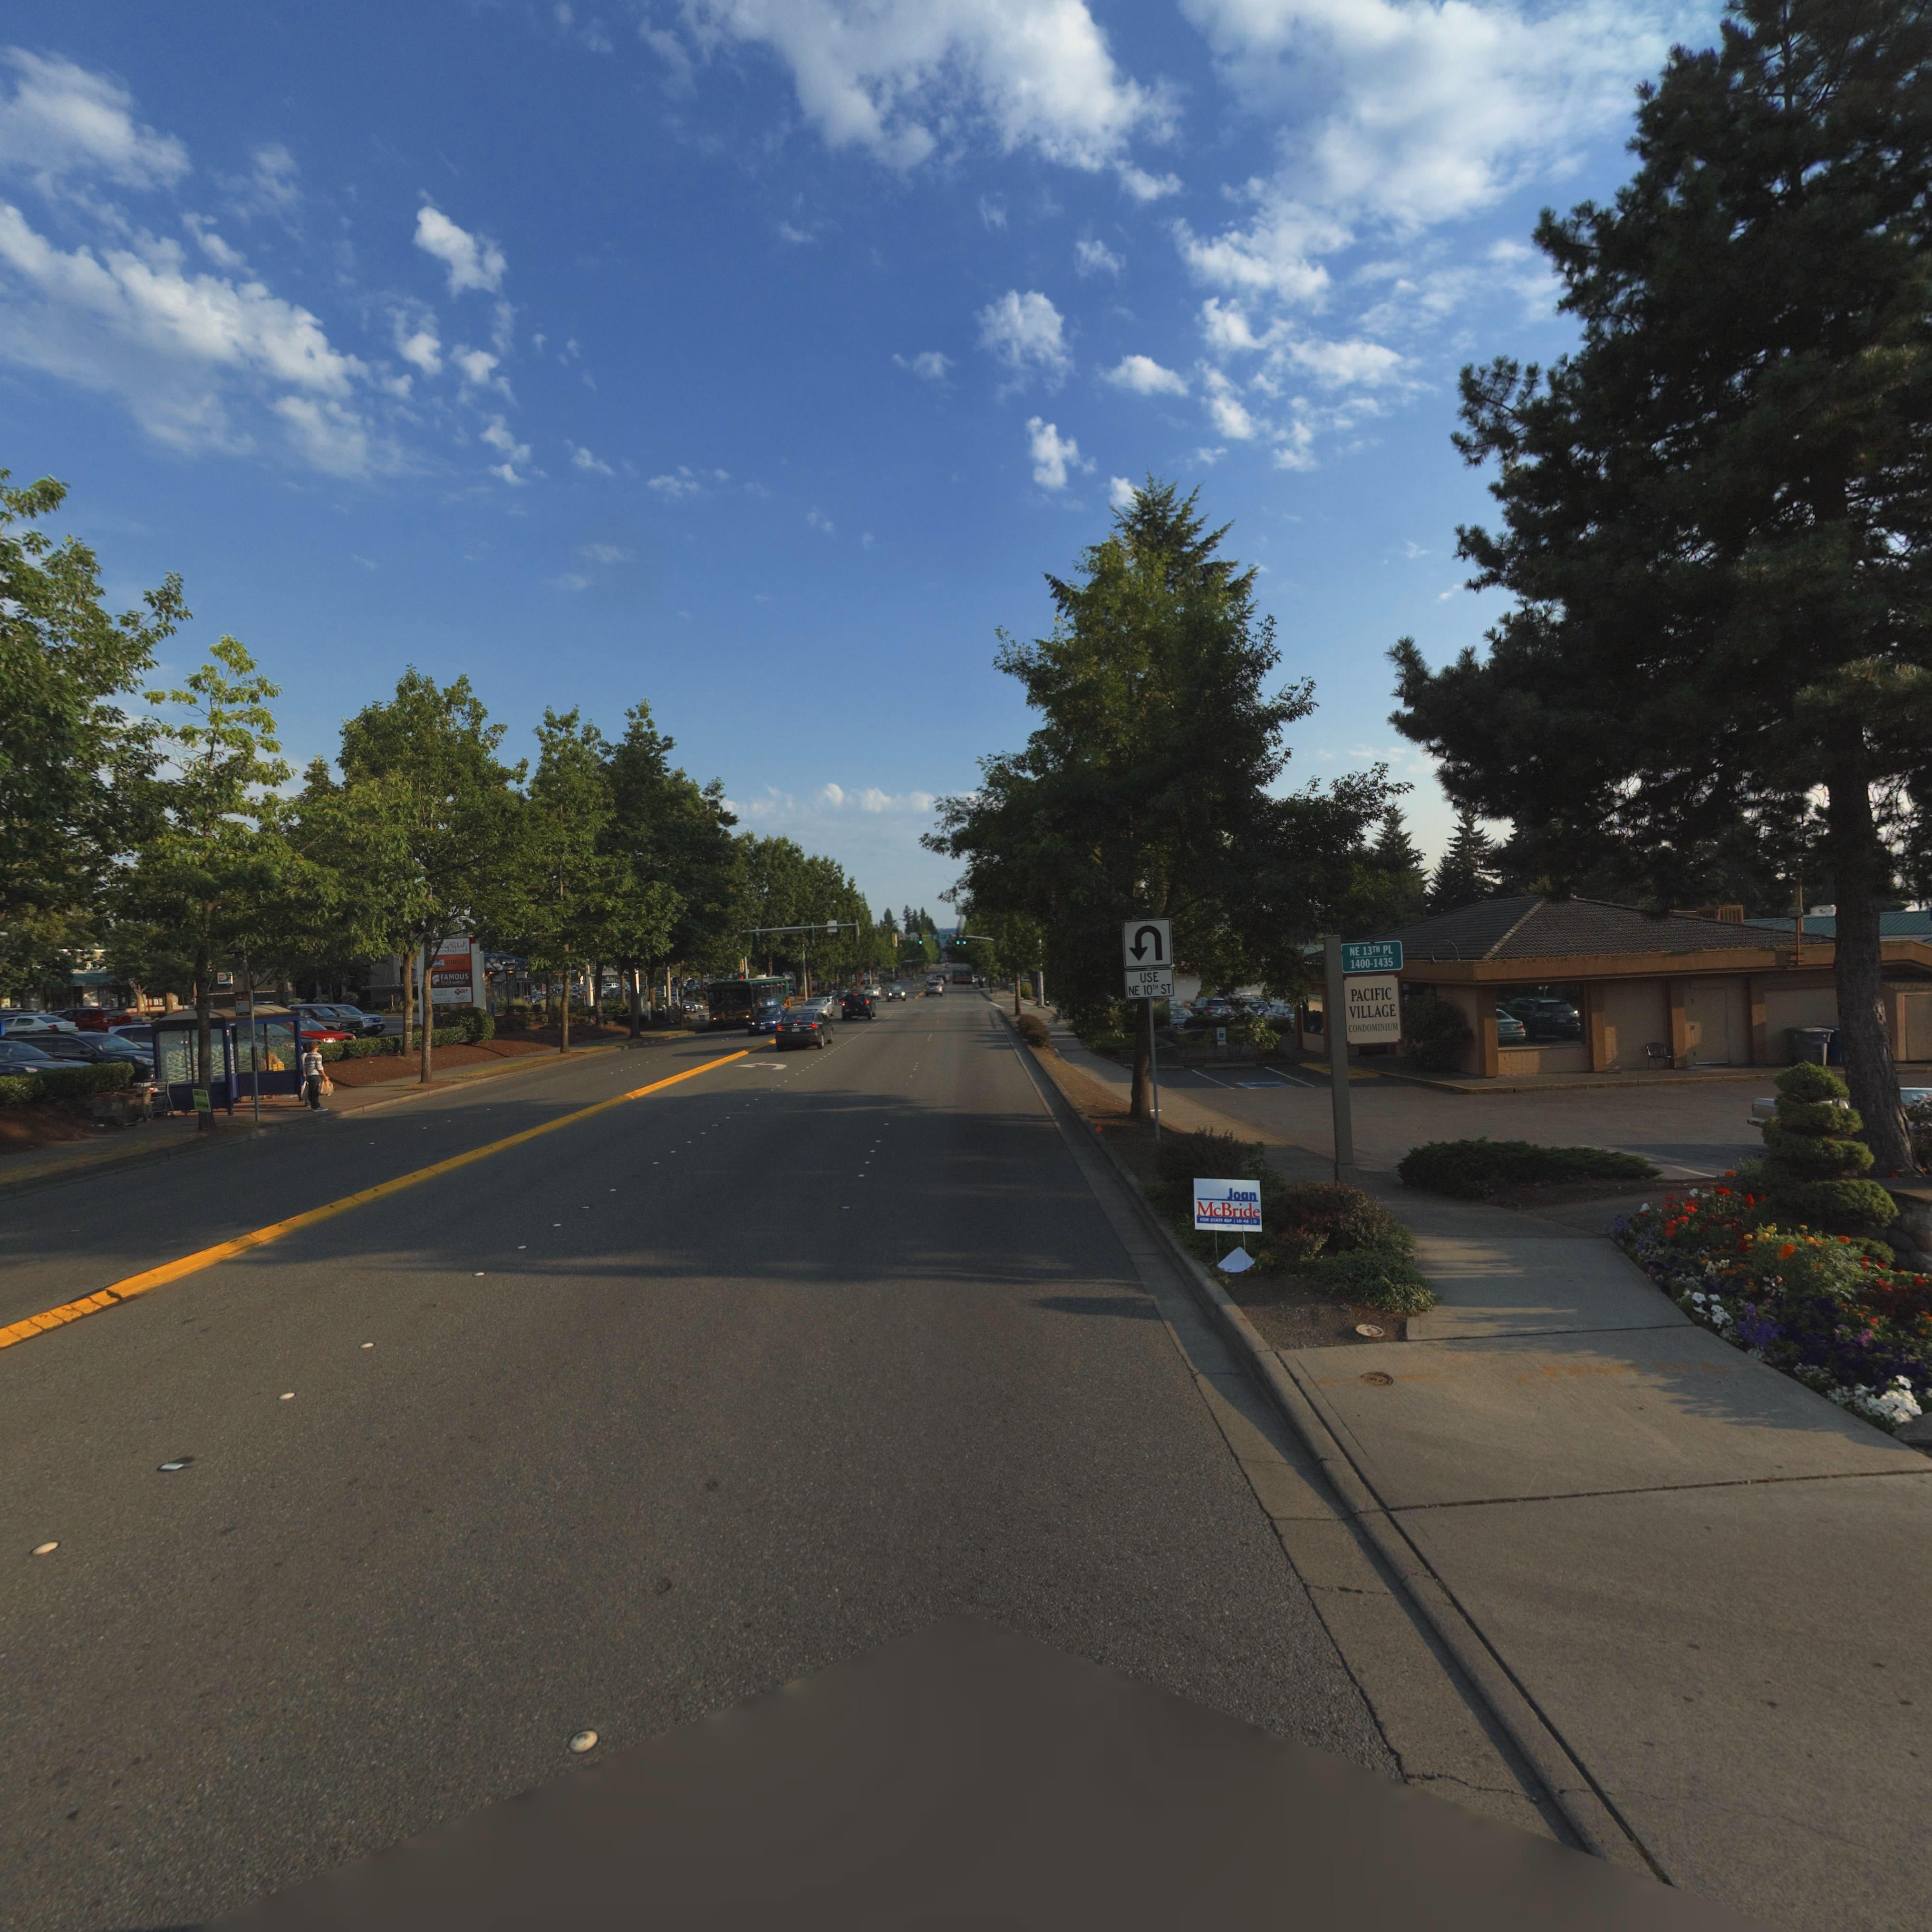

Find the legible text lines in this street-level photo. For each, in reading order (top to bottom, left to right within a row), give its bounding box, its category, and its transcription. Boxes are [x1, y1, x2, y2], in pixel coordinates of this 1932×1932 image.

[1349, 945, 1394, 956] StreetName: NE 13TH Pl
[1351, 957, 1392, 968] StreetNumberRange: 1400-1435
[441, 973, 469, 980] BusinessName: FAMOUS
[441, 980, 465, 985] BusinessName: *ootwear